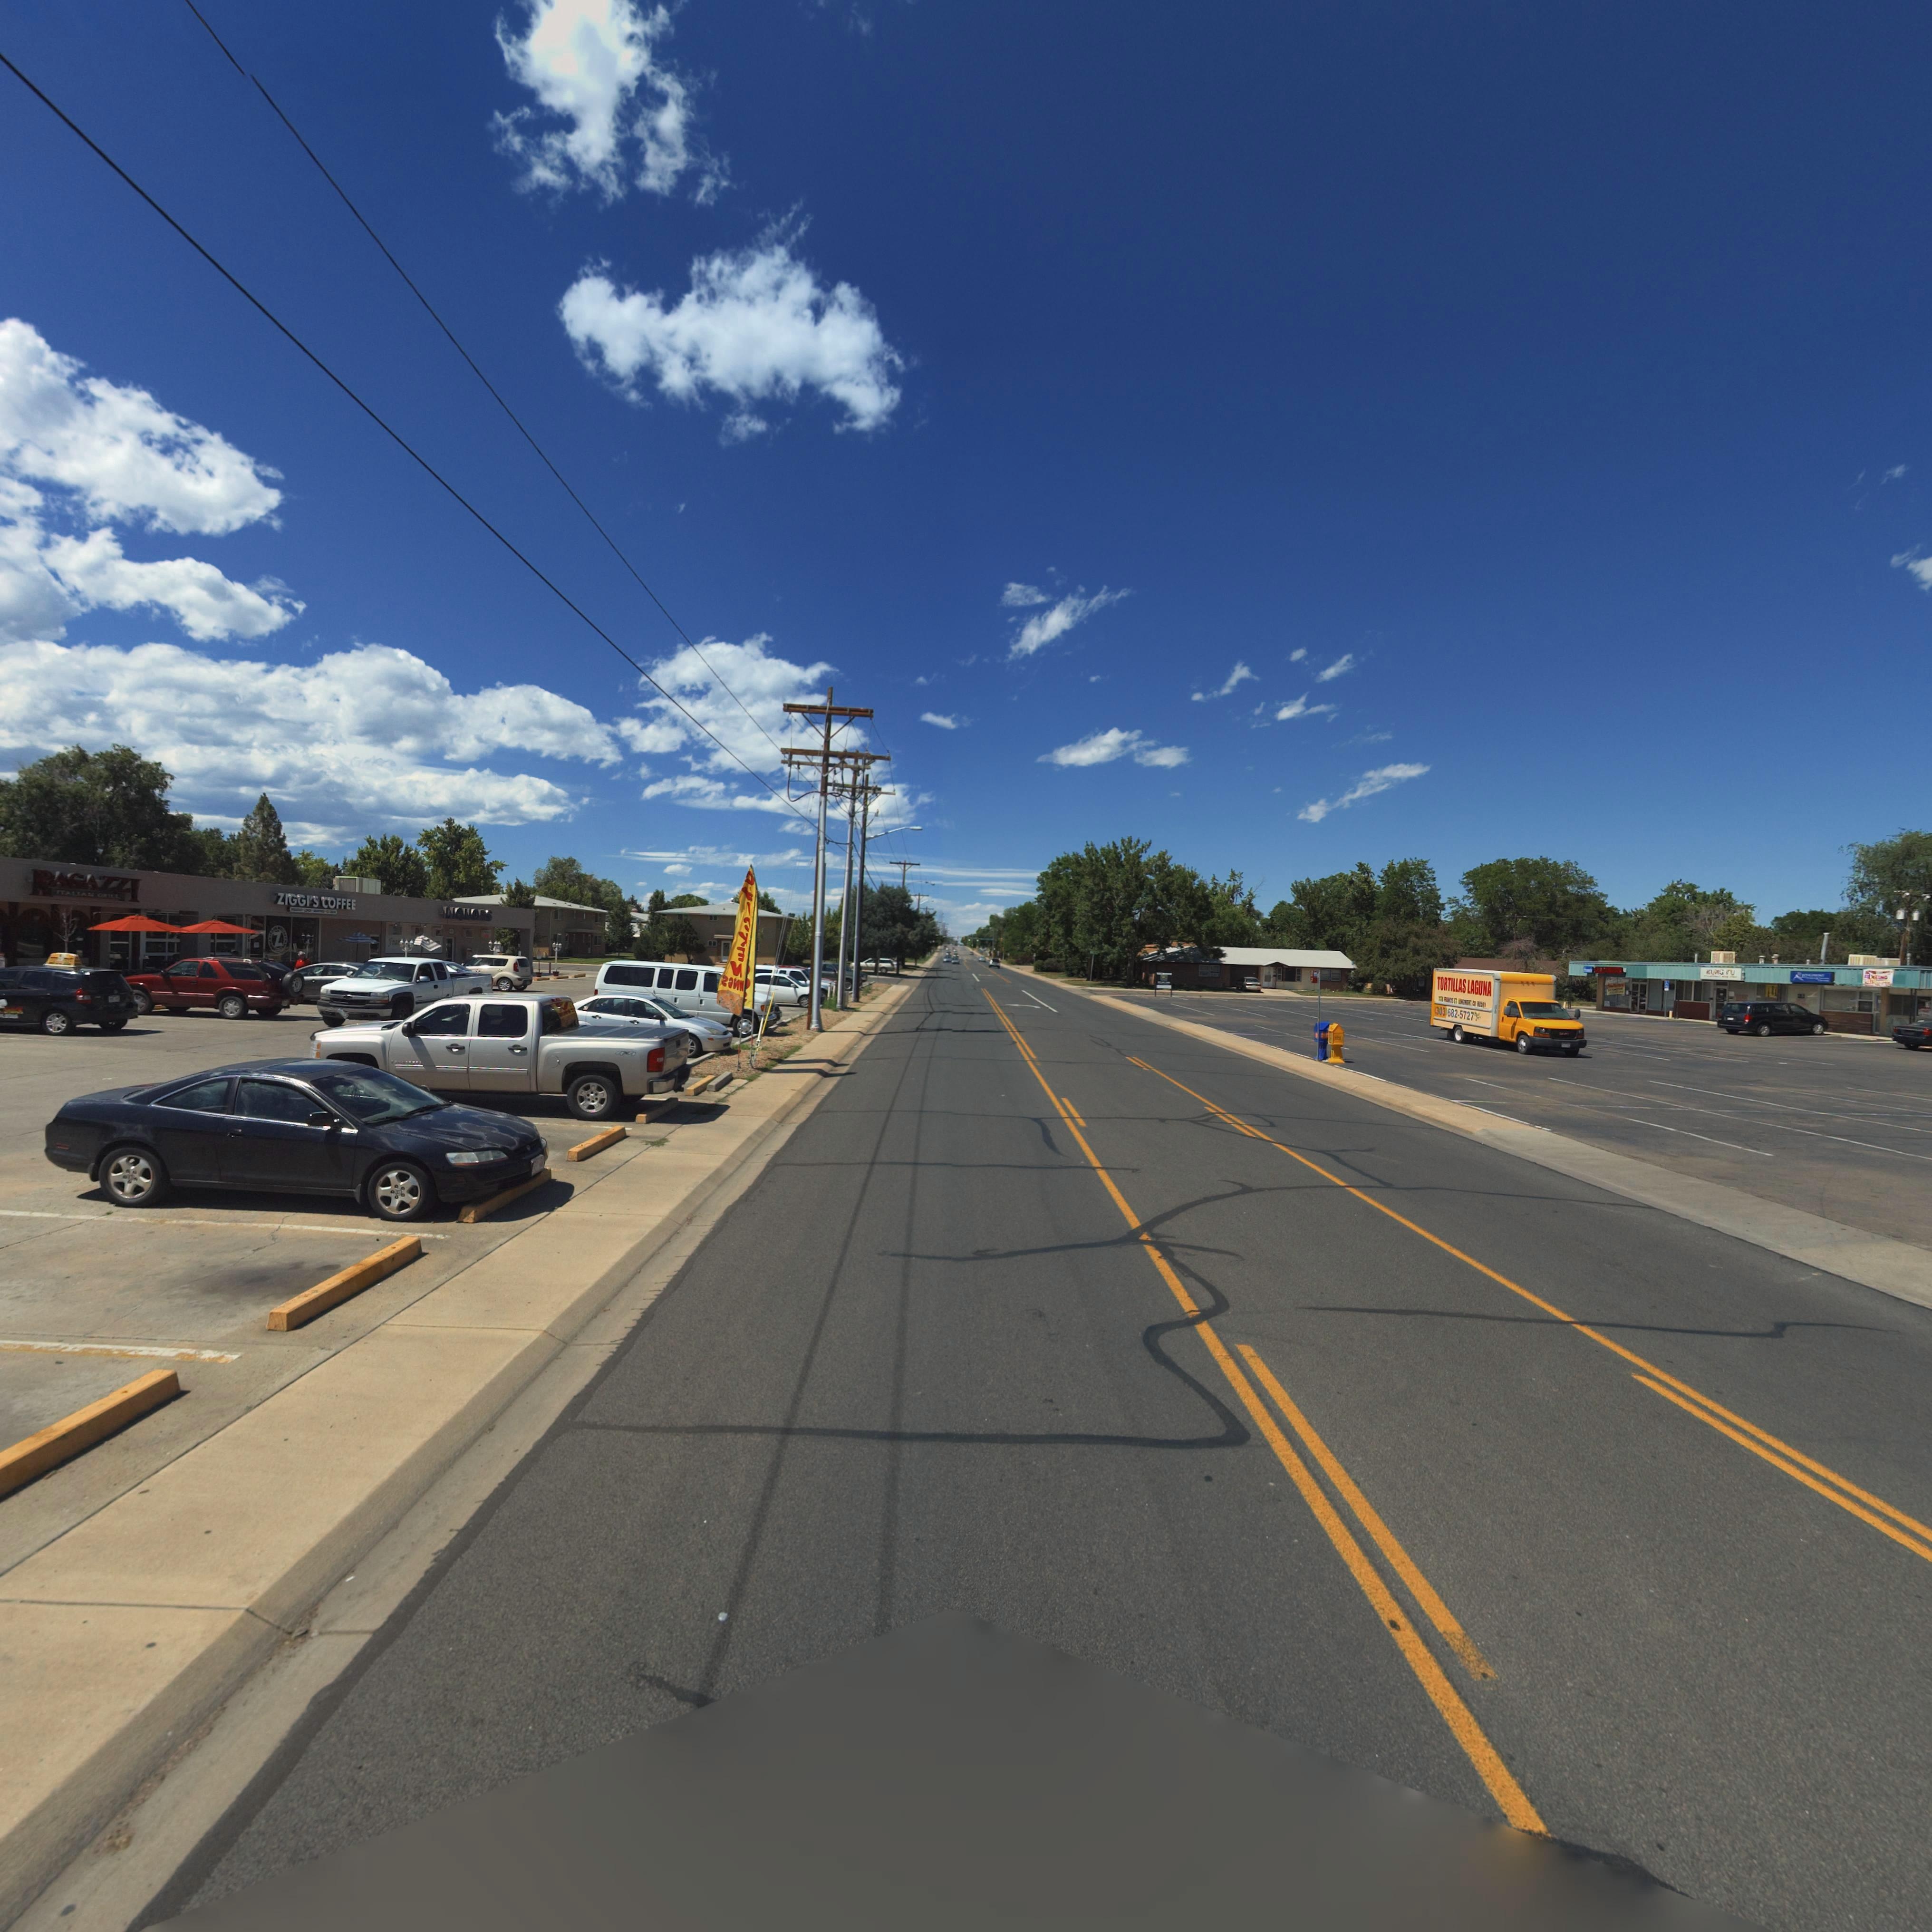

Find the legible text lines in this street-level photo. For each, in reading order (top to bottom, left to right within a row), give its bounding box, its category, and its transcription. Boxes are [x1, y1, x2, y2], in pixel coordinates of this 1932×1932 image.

[30, 869, 142, 903] BusinessName: RAGAZZI
[277, 892, 356, 910] BusinessName: ZIGGI'S COFFEE
[444, 907, 493, 921] BusinessName: LIQUORS
[387, 937, 406, 947] BusinessName: Fra**
[1583, 967, 1592, 972] BusinessName: F***cis
[1594, 966, 1623, 975] BusinessName: CLEA*ERS
[1706, 969, 1735, 975] BusinessName: KUNG FU